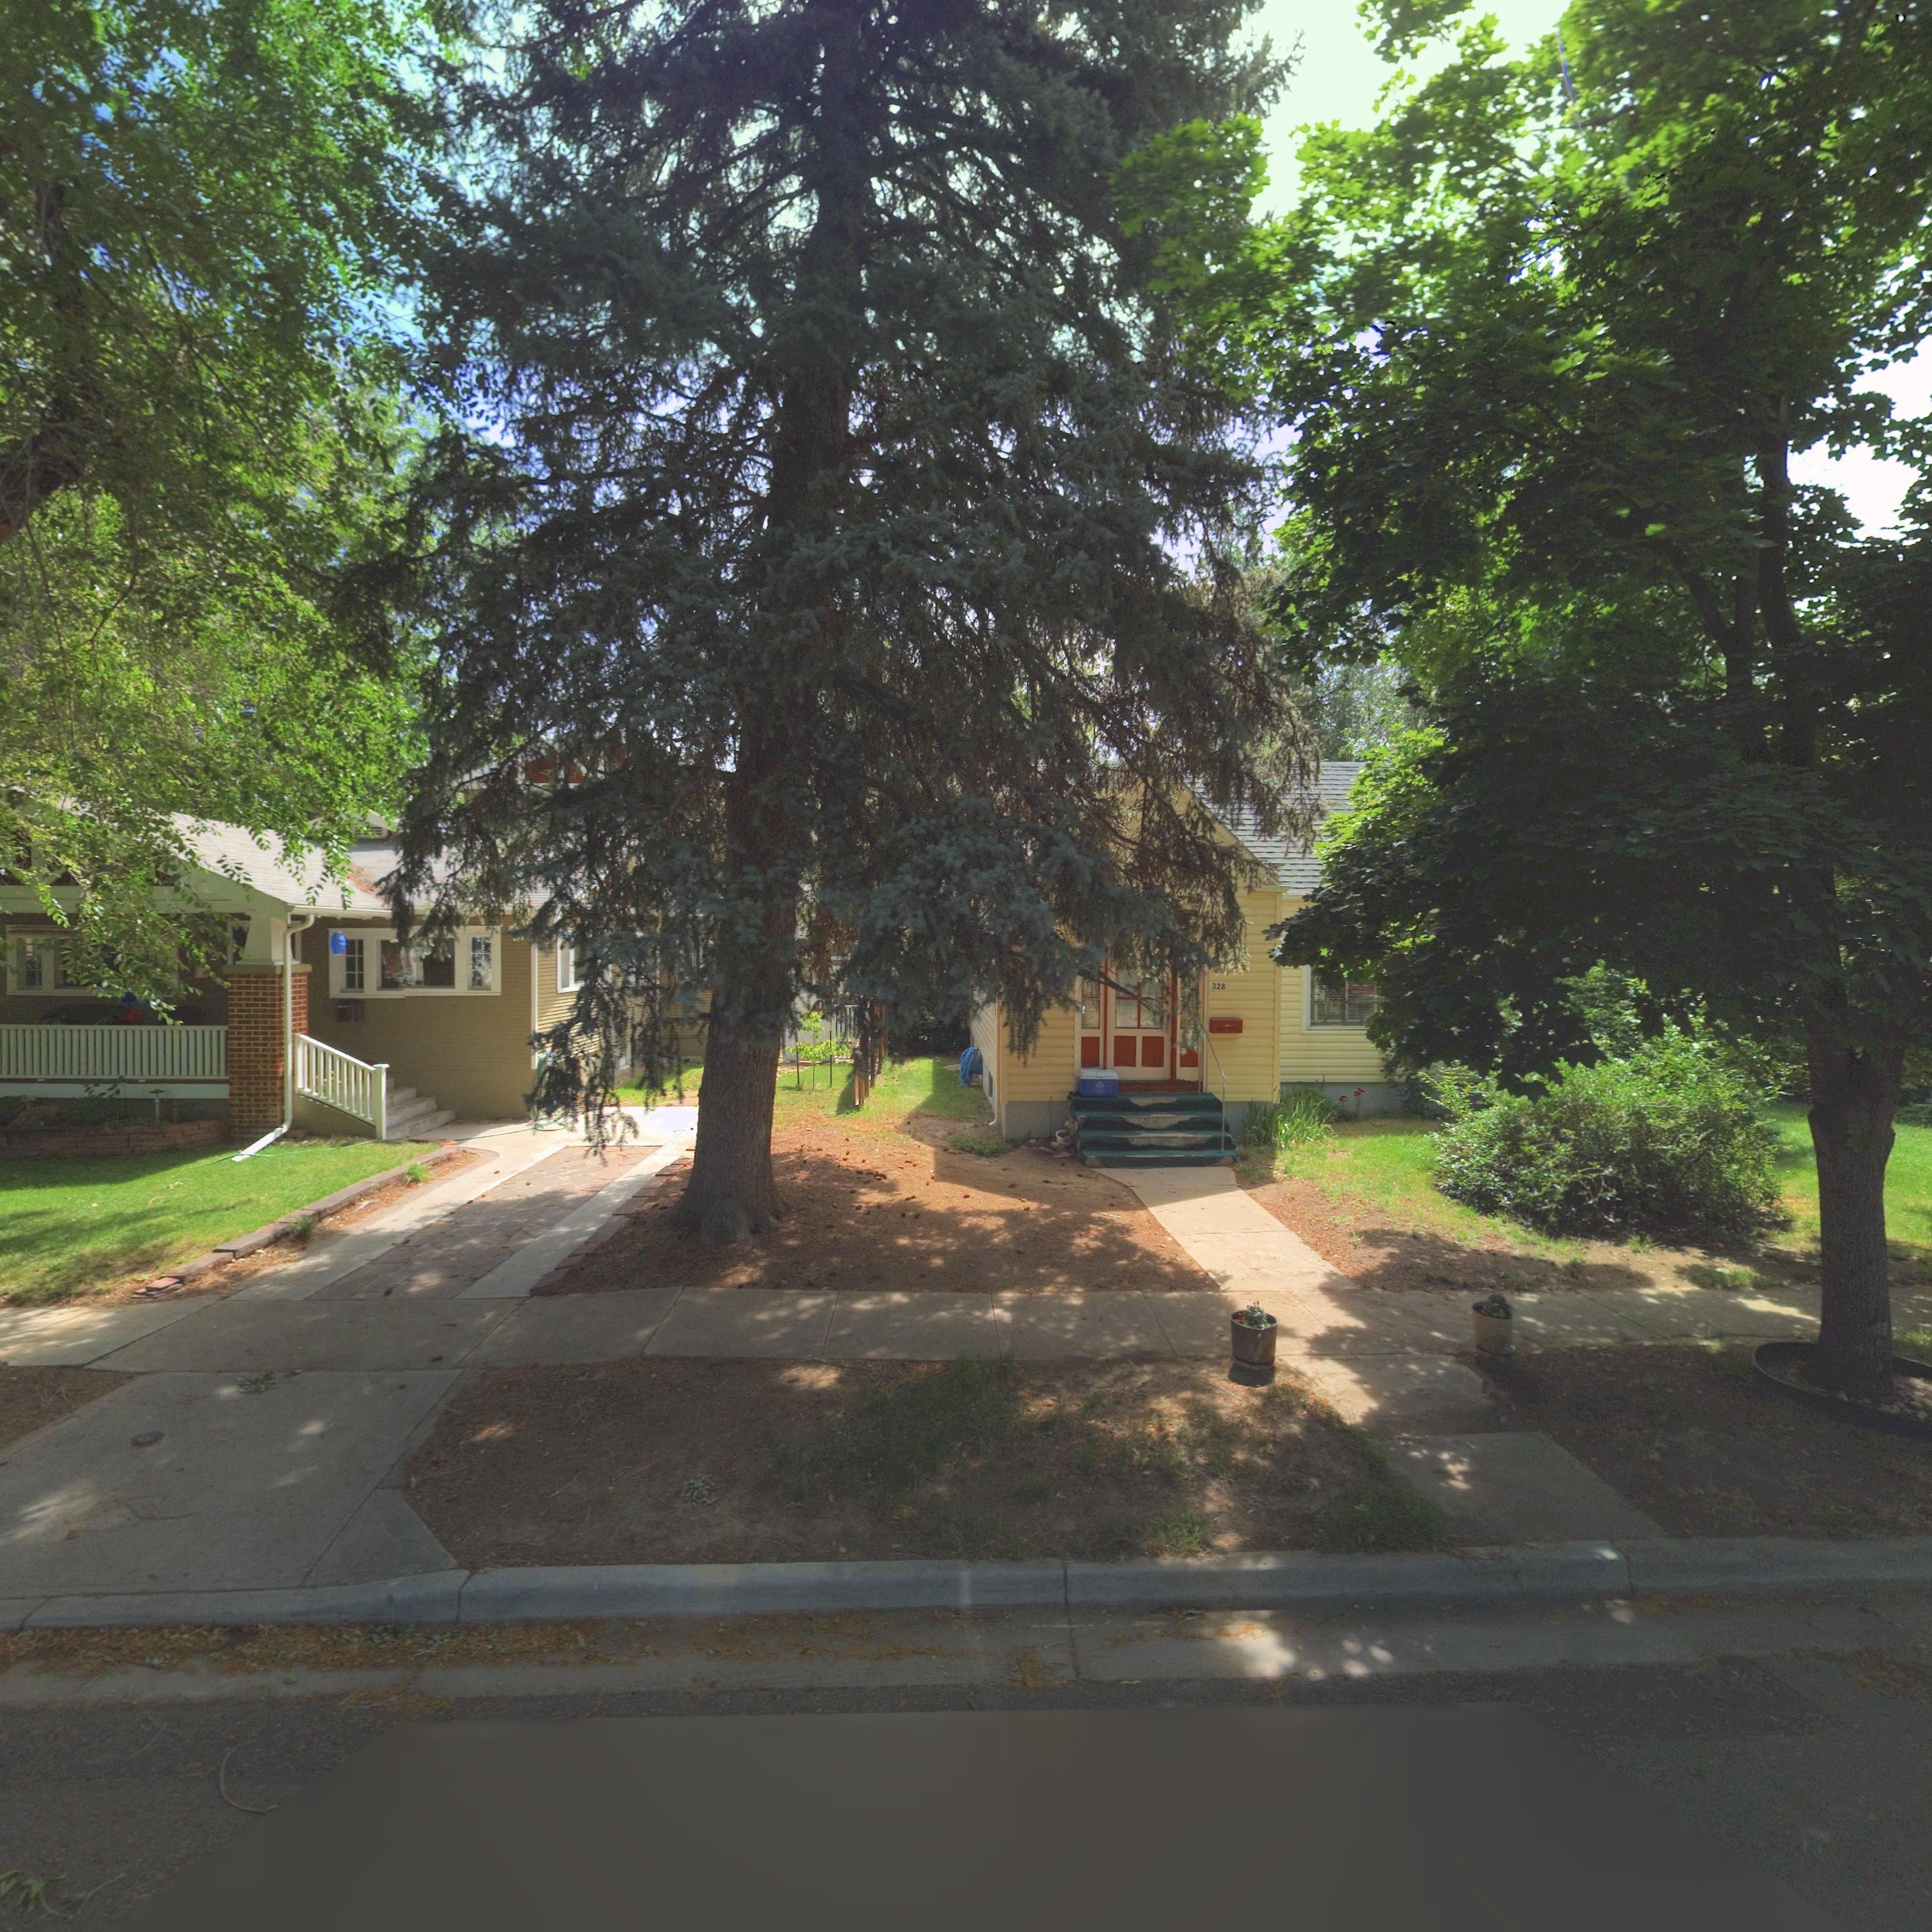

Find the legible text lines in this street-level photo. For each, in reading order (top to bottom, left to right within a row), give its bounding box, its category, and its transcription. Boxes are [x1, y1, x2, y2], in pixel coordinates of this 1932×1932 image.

[1212, 983, 1225, 989] StreetNumber: 328